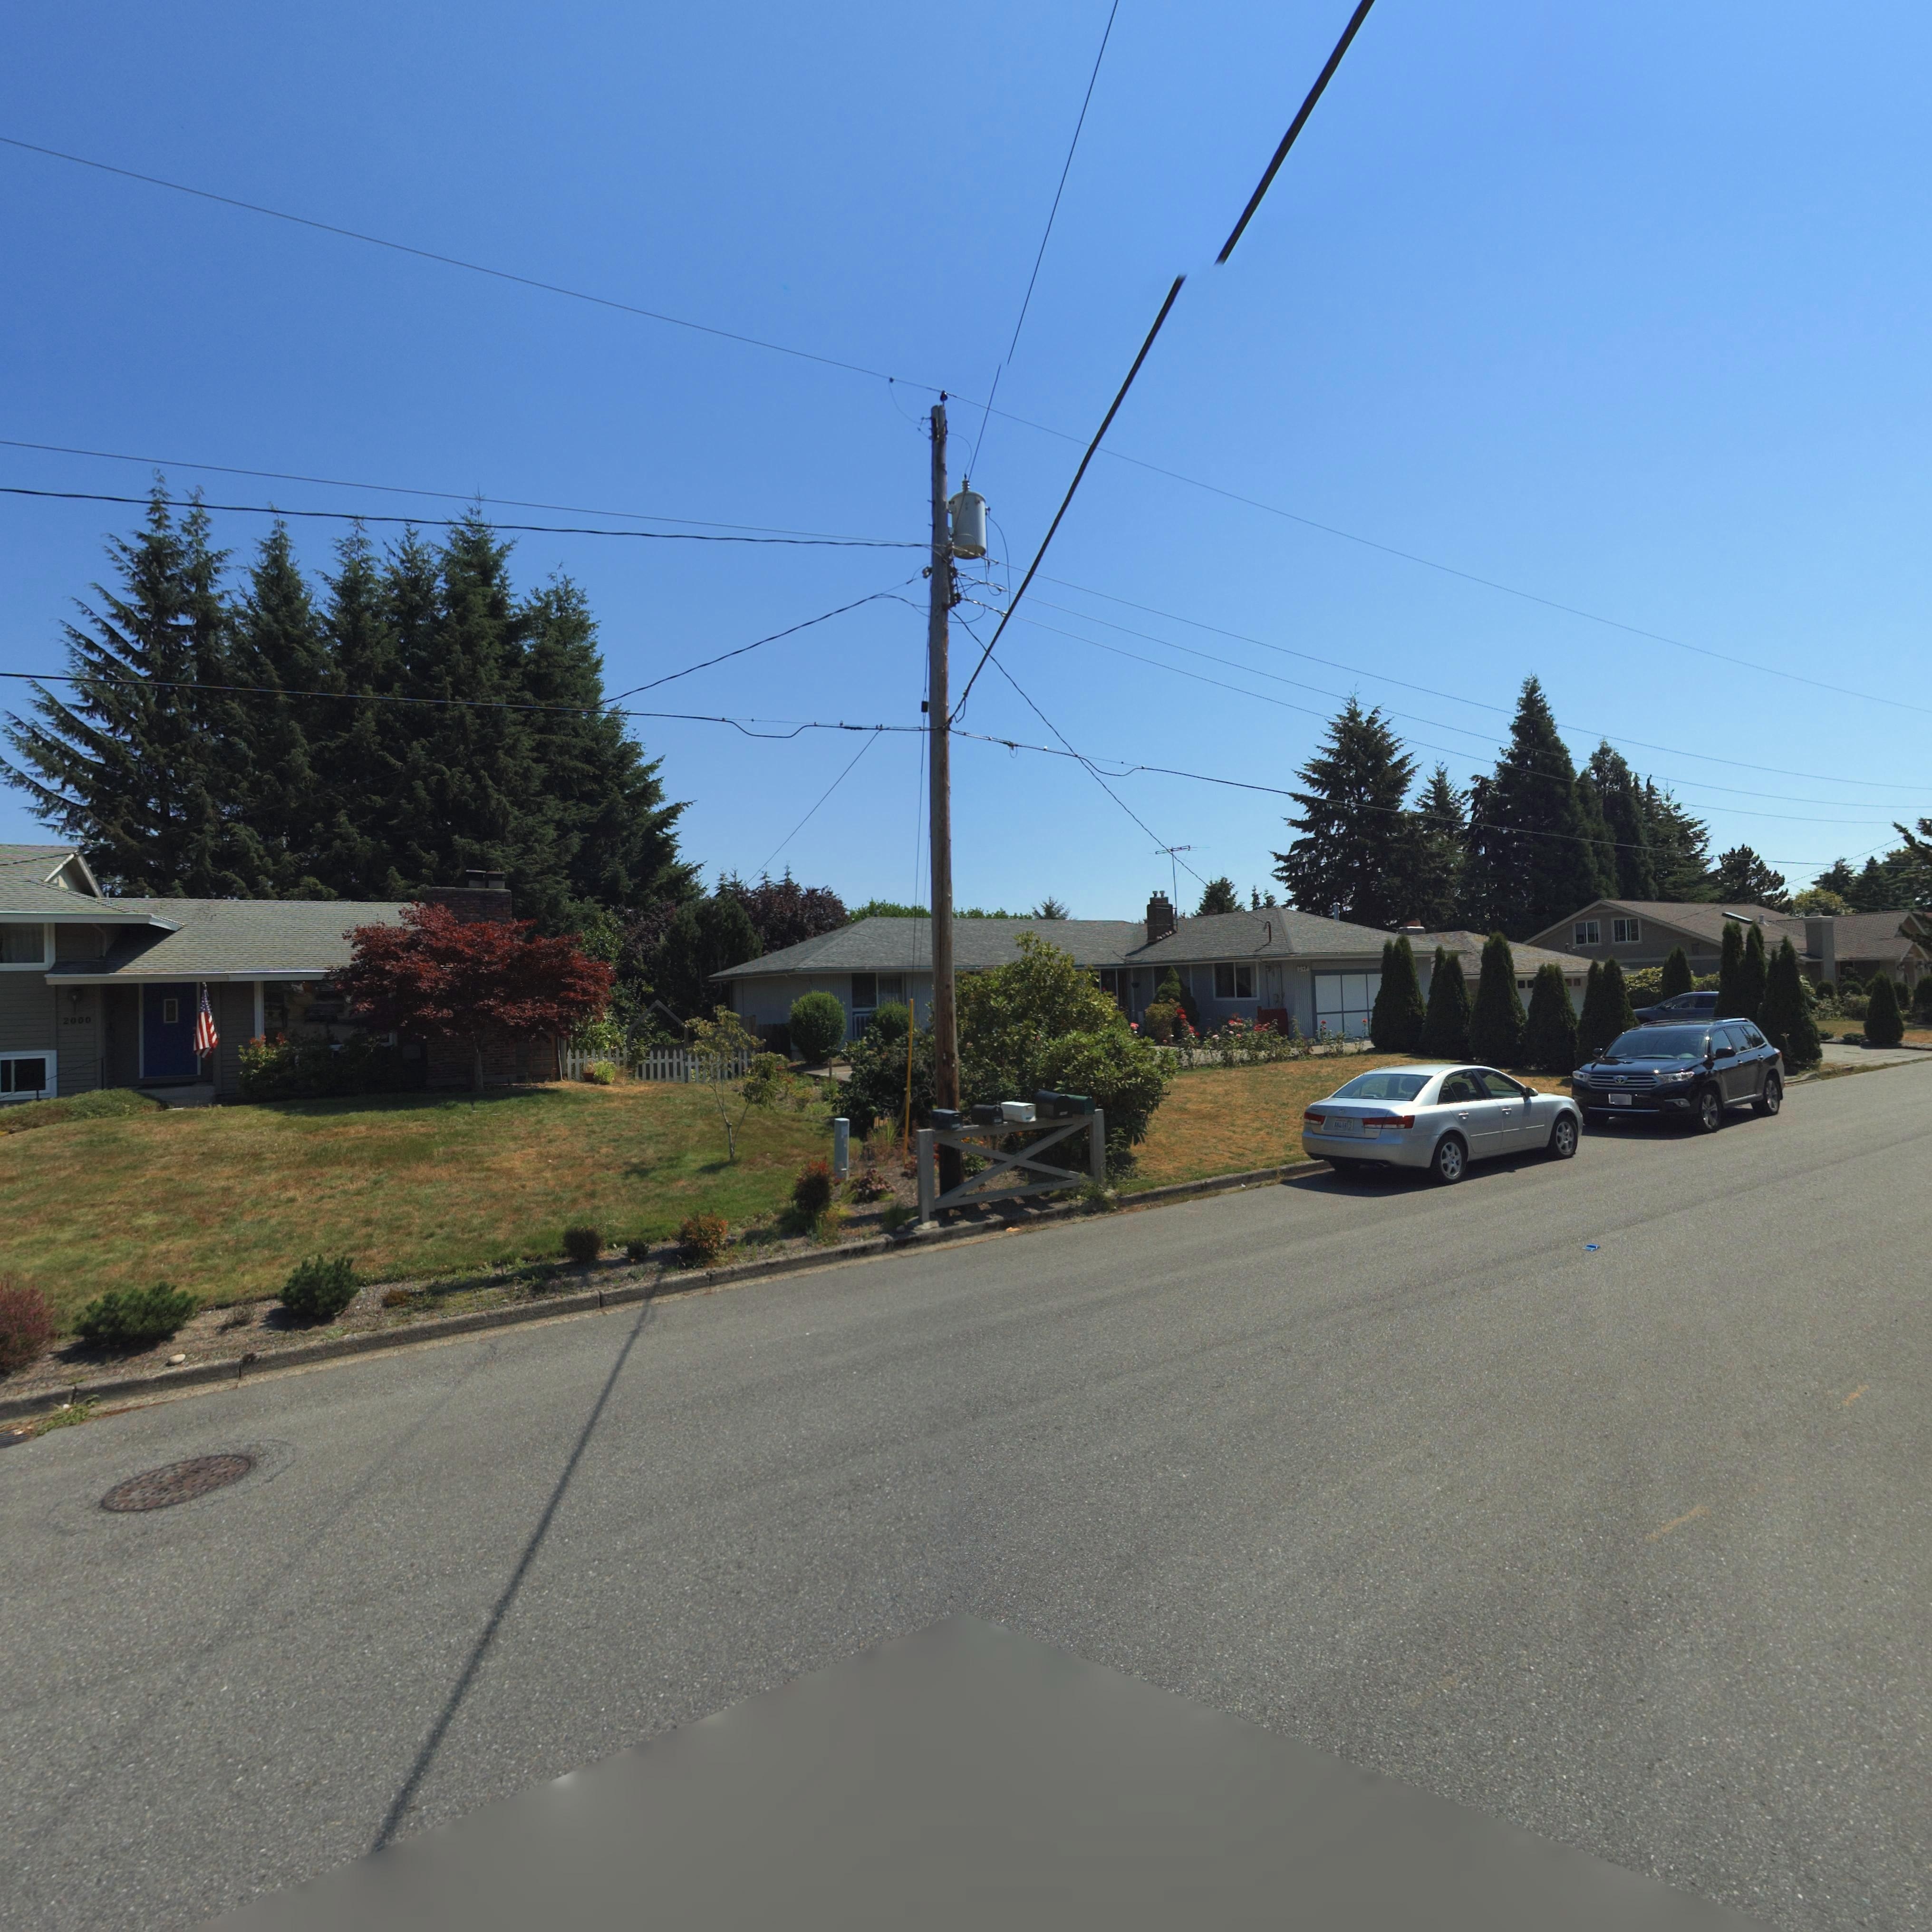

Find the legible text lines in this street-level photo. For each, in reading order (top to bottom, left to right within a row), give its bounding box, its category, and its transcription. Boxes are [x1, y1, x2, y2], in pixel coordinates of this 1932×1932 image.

[62, 1016, 91, 1025] StreetNumber: 2000